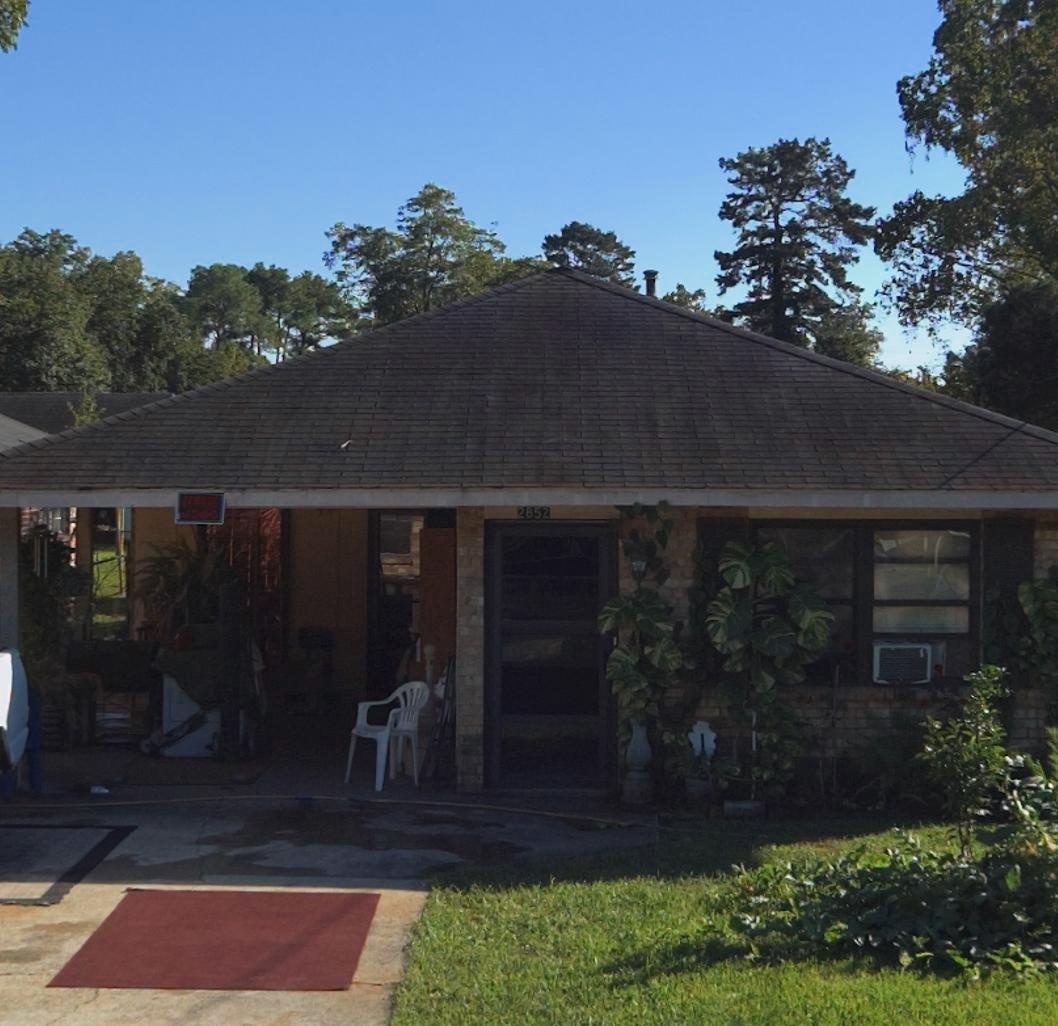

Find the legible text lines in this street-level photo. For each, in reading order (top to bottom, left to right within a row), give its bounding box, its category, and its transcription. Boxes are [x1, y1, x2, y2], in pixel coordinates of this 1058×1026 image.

[516, 506, 551, 520] StreetNumber: 2852